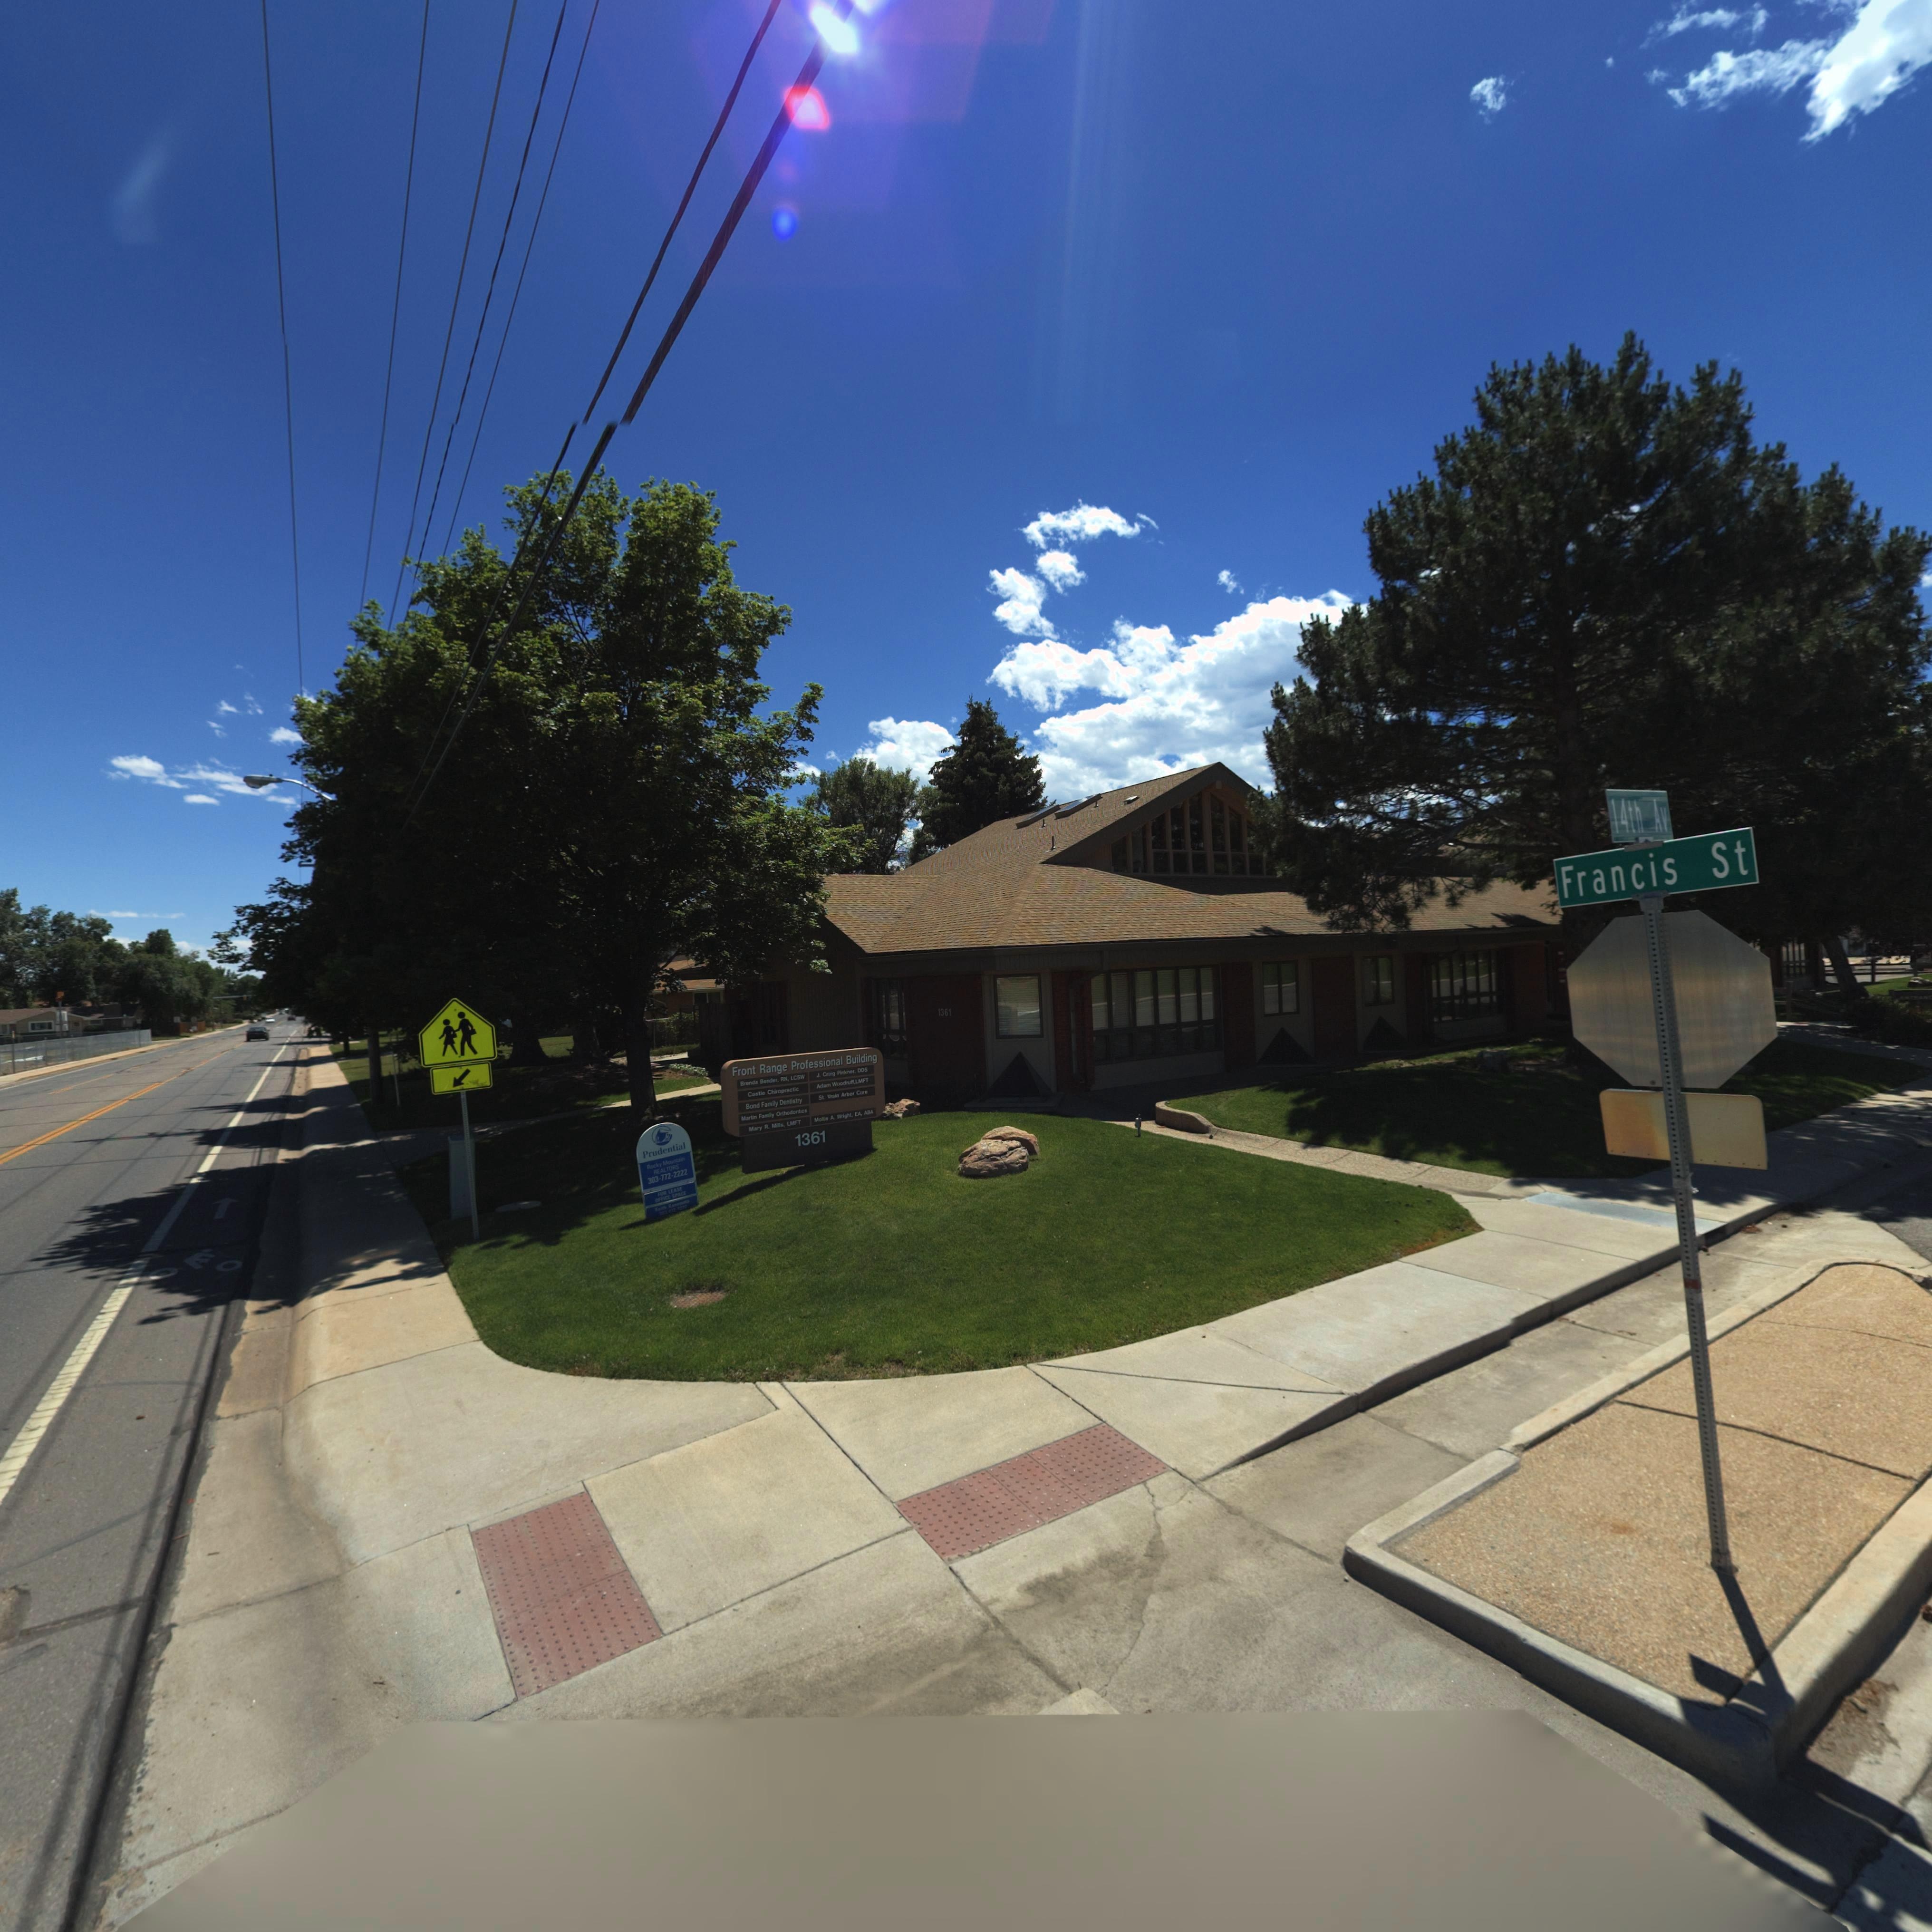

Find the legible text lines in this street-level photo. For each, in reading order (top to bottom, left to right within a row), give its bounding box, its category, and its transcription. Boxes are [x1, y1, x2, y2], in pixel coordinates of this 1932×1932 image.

[1610, 797, 1668, 834] StreetName: 14th Av
[1560, 839, 1749, 898] StreetName: Francis St
[937, 1008, 951, 1016] StreetNumber: 1361
[816, 1067, 868, 1078] BusinessName: J* Craig Pinkner* DDS
[740, 1074, 805, 1086] BusinessName: Brenda Bender* RN* LCSW
[816, 1077, 869, 1089] BusinessName: Adam Woodruff*LMFT
[747, 1086, 799, 1097] BusinessName: Castle Chiropractic
[818, 1090, 868, 1100] BusinessName: St* Vrain Arbor Care
[745, 1098, 802, 1110] BusinessName: Bond Family Dentistry
[741, 1109, 808, 1121] BusinessName: Martin Family Orthodontics
[814, 1109, 874, 1122] BusinessName: Mollie A* Wright* EA* ABA
[749, 1119, 801, 1131] BusinessName: Mary R* Mi*l** LMFT
[795, 1130, 826, 1147] StreetNumber: 1361